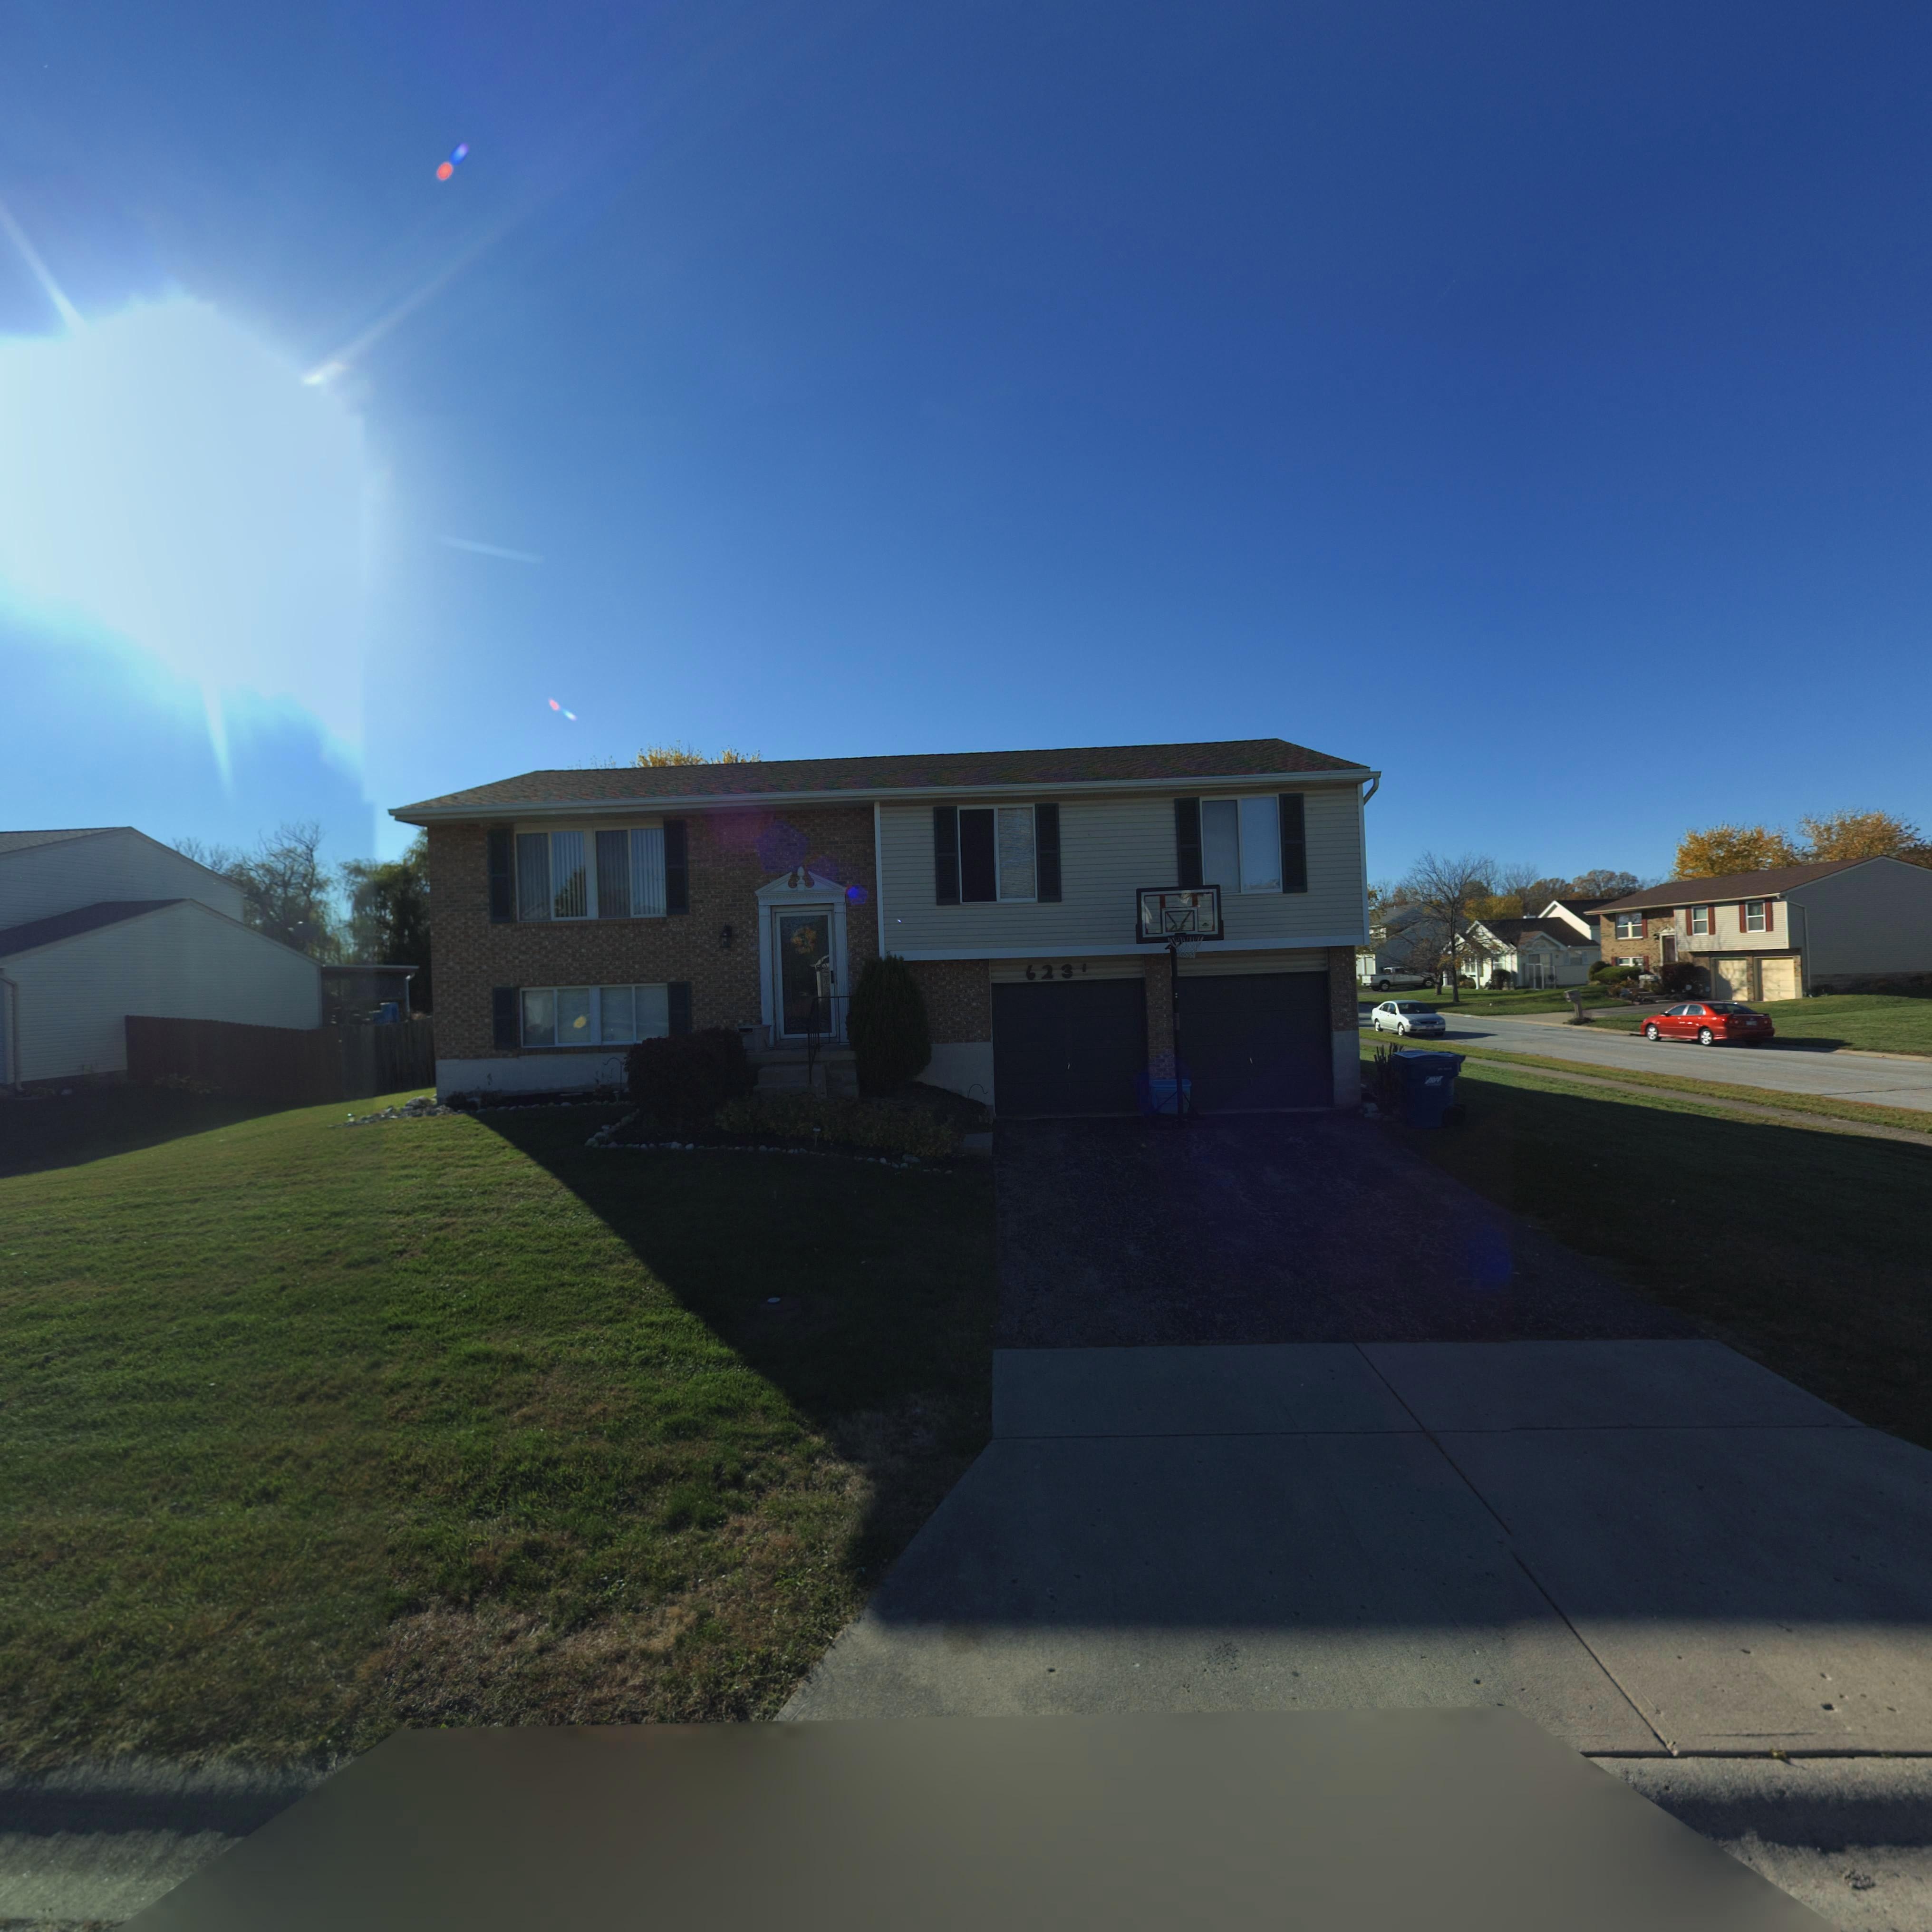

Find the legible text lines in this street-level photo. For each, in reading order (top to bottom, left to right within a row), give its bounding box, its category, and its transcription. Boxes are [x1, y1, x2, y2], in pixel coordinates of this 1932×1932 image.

[1024, 962, 1088, 982] StreetNumber: 623*